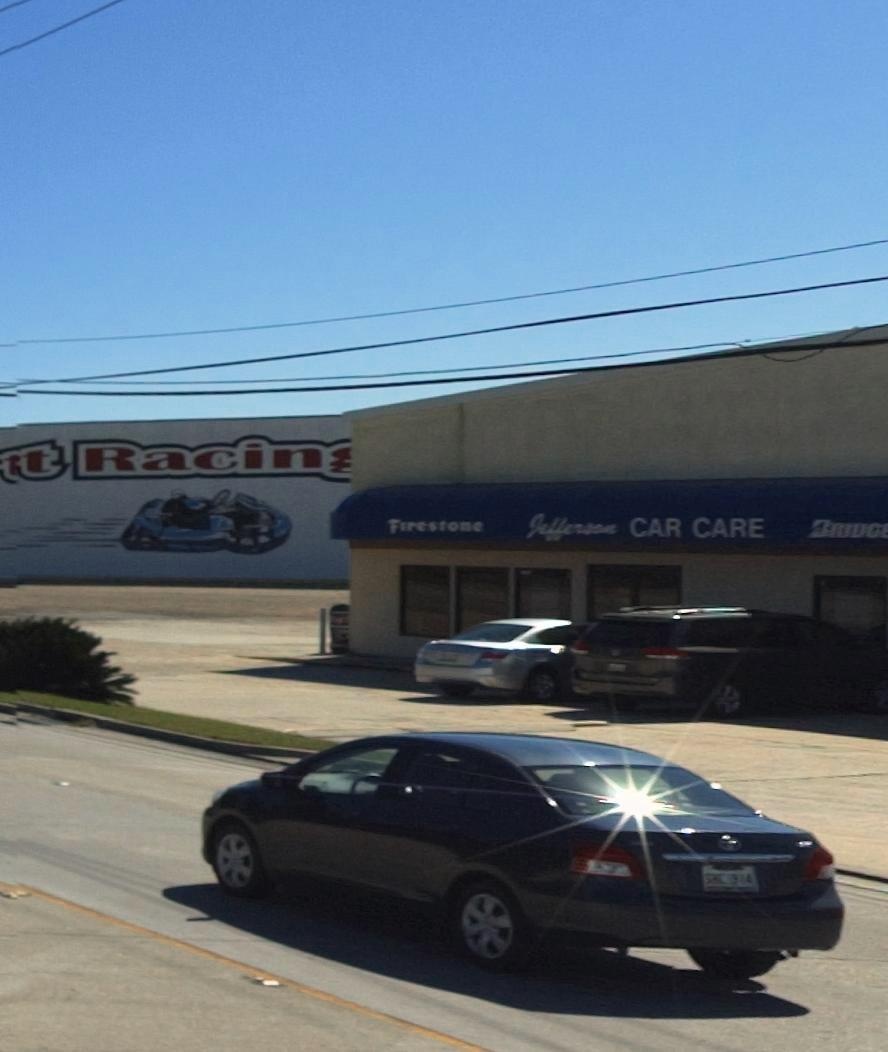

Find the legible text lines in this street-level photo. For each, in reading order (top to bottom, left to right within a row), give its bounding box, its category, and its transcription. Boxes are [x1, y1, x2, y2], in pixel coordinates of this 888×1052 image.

[17, 434, 327, 483] None: t Racin
[384, 515, 484, 536] BusinessName: Firestone
[515, 509, 768, 545] BusinessName: Jefferson CAR CARE
[799, 516, 886, 543] BusinessName: BRIDG